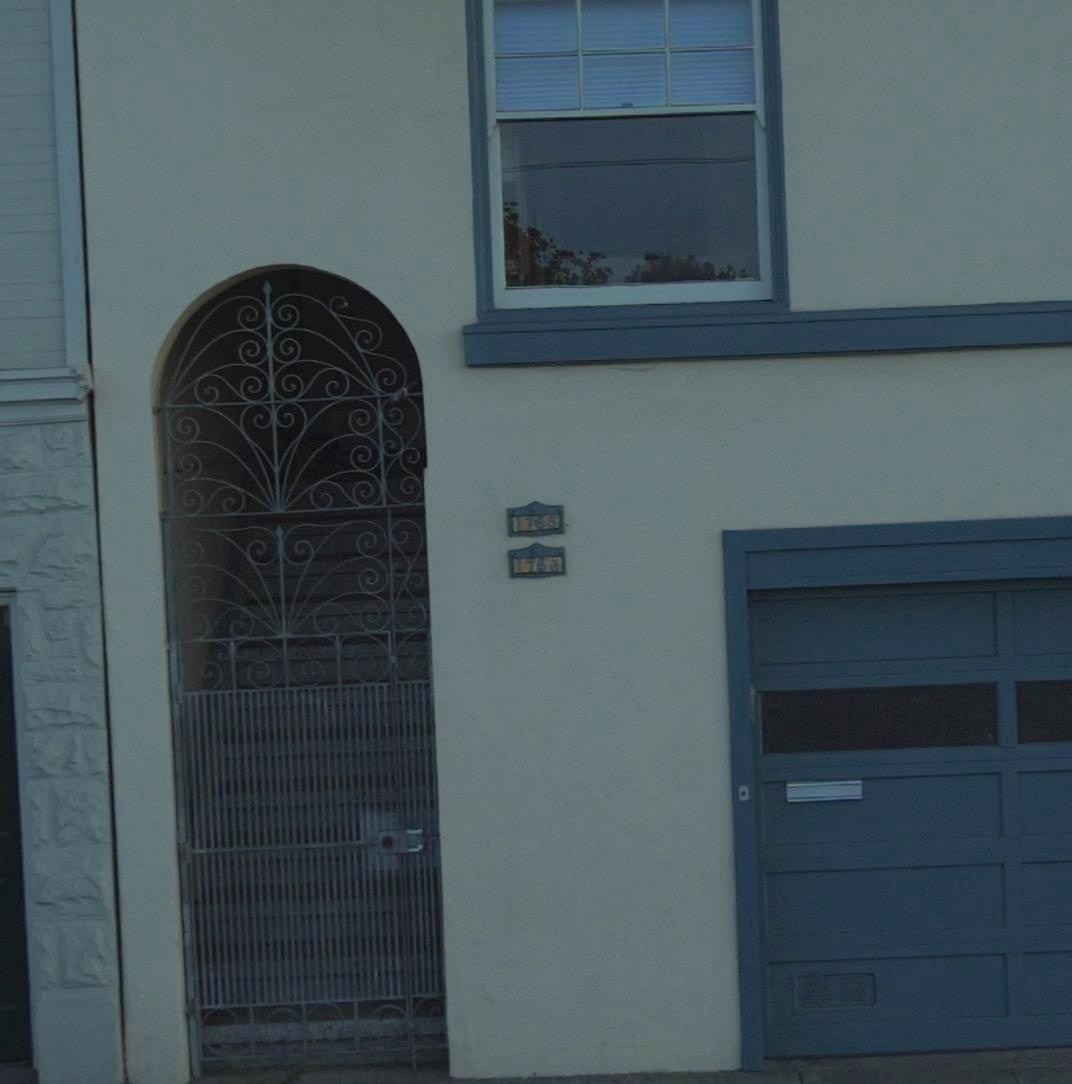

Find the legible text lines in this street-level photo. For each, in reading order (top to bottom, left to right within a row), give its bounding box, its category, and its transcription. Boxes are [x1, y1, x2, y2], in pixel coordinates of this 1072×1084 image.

[512, 512, 560, 535] StreetNumber: 1765
[514, 555, 563, 575] StreetNumber: 176 a